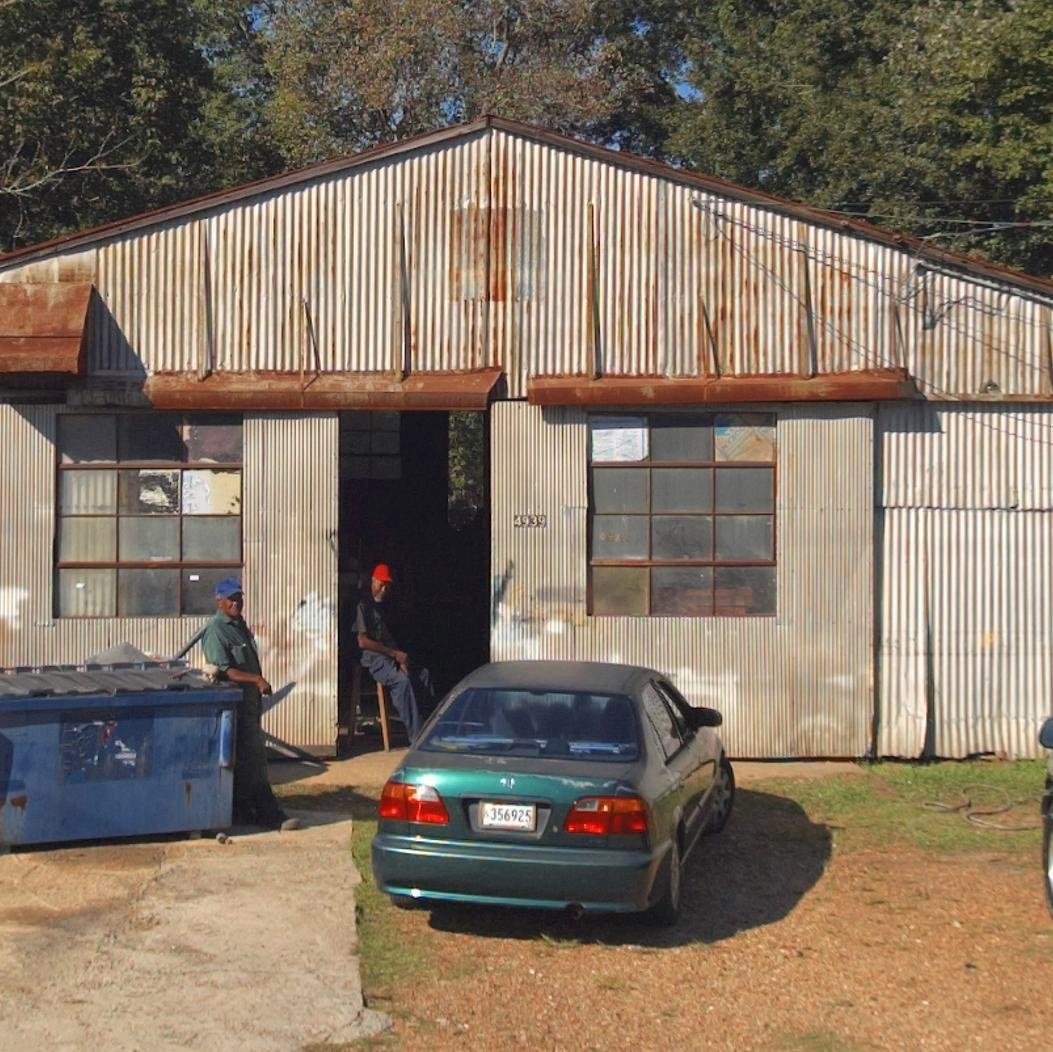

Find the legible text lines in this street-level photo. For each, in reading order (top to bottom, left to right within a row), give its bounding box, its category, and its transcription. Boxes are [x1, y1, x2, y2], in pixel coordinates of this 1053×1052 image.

[513, 515, 547, 528] StreetNumber: 4939
[488, 806, 533, 825] None: 356925